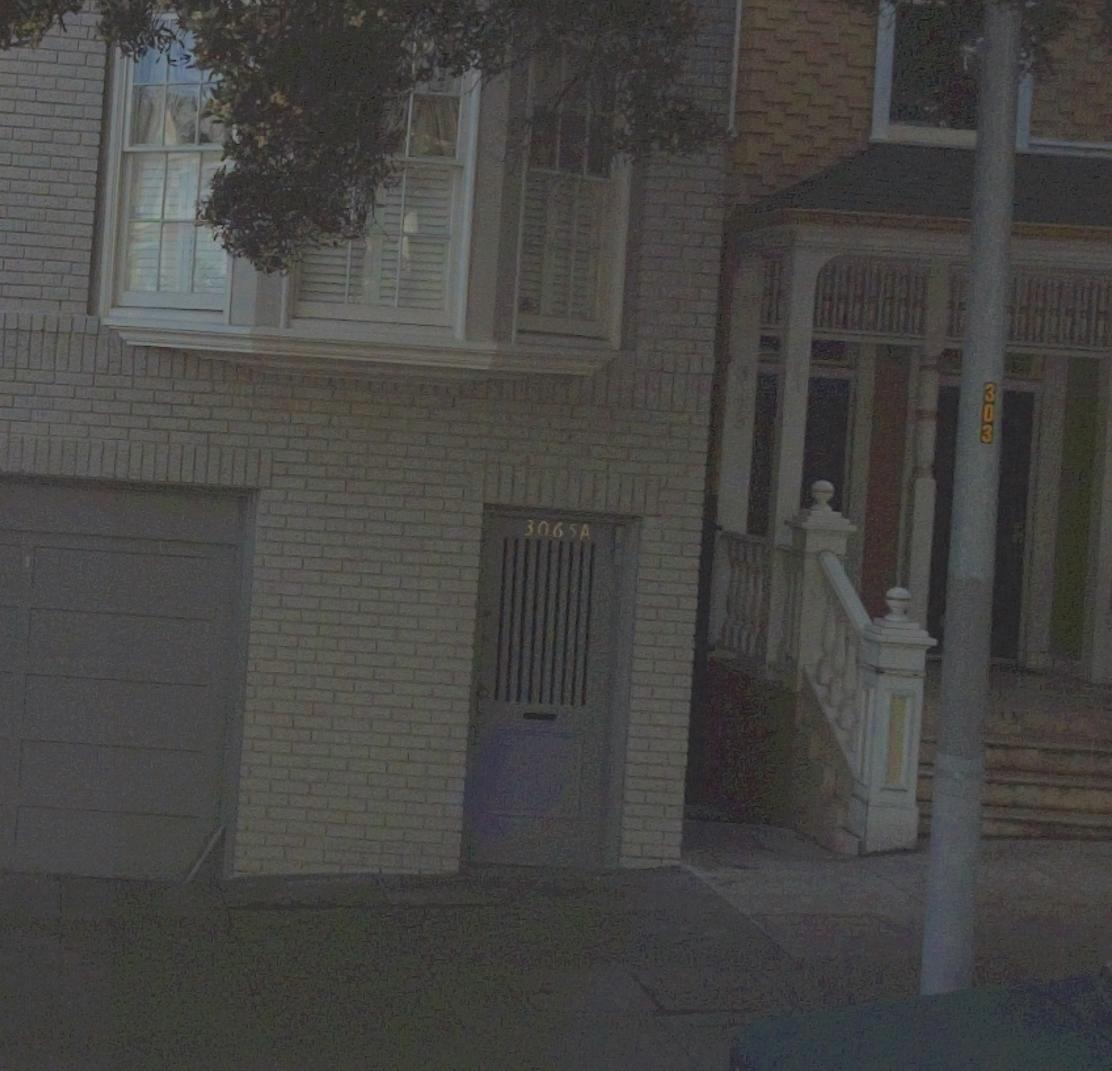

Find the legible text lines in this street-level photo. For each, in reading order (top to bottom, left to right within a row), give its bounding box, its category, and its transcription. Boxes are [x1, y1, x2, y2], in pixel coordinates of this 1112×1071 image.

[980, 381, 996, 444] None: 303
[520, 516, 581, 543] StreetNumber: 3065
[576, 519, 595, 543] StreetNumber: A